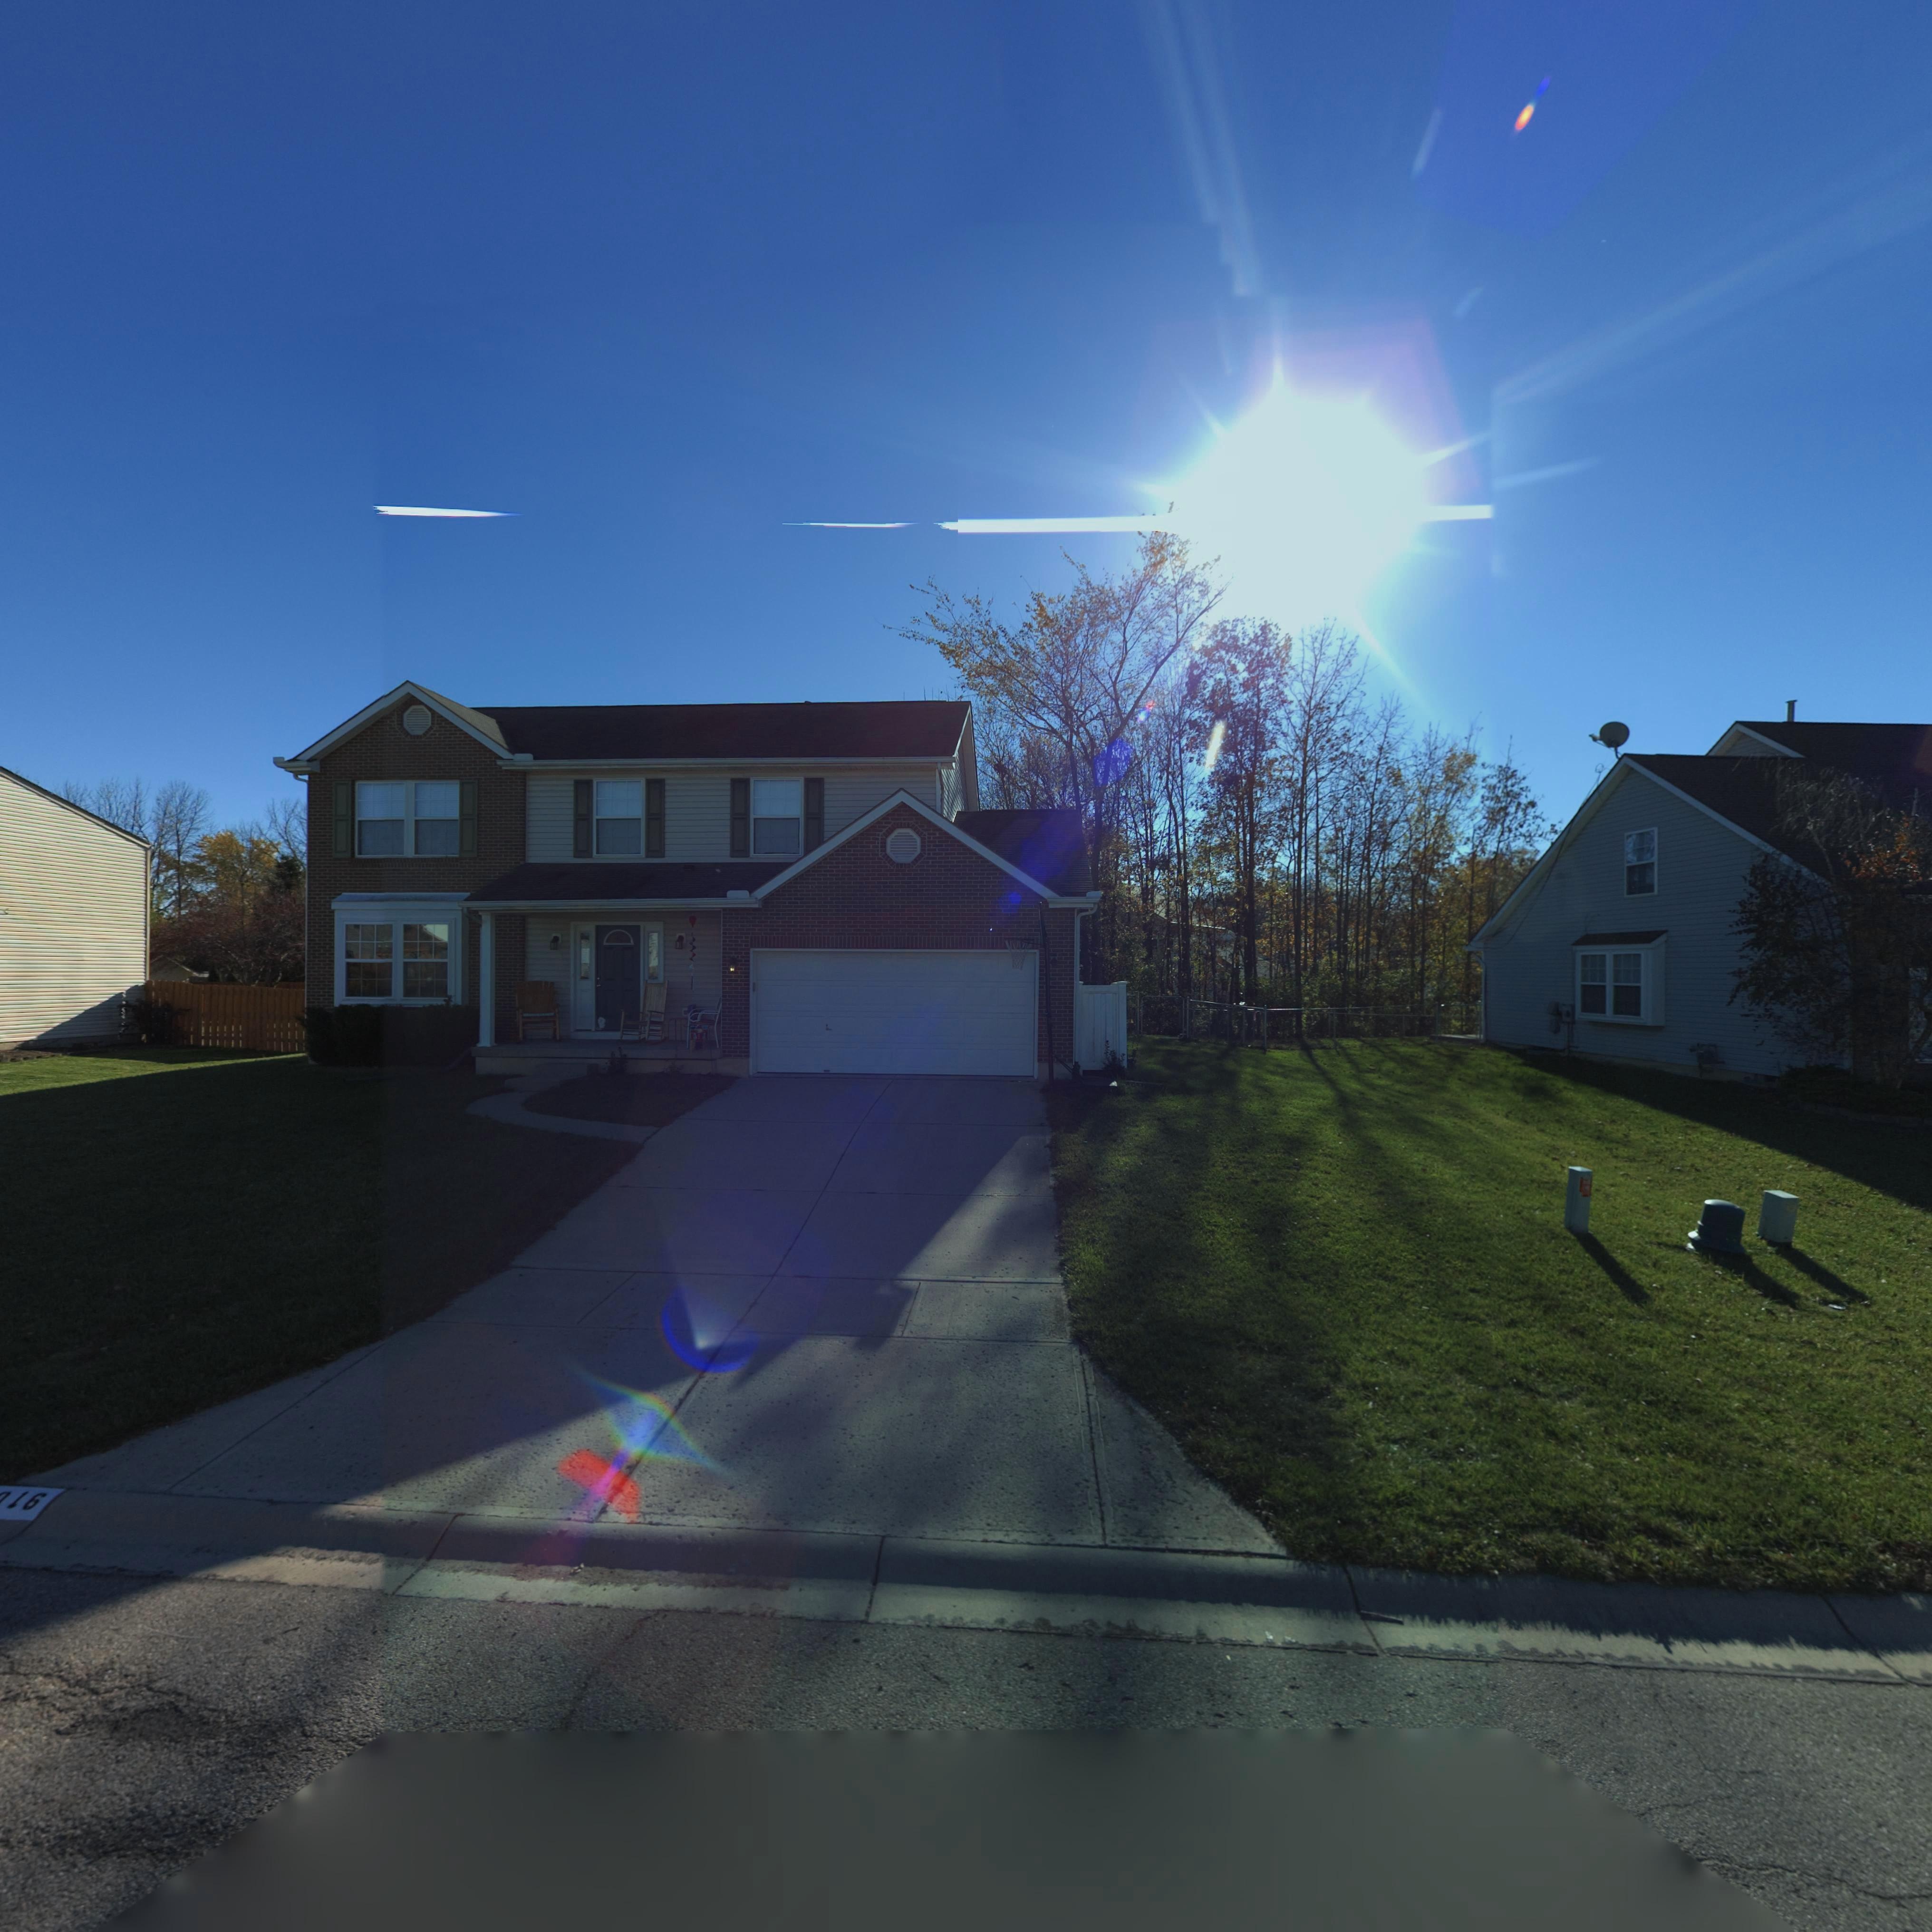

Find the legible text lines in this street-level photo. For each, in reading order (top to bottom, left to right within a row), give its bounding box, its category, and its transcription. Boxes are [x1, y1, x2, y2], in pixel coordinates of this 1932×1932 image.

[5, 1489, 48, 1511] StreetNumber: 16